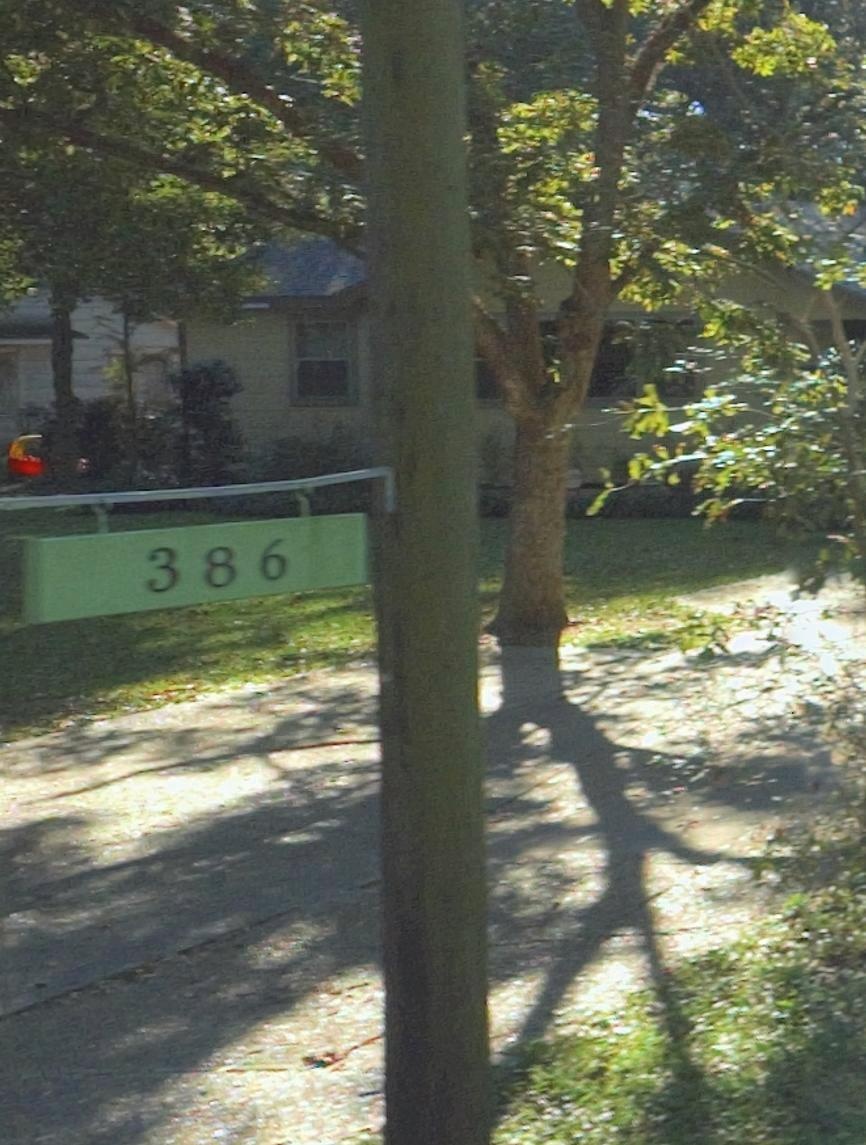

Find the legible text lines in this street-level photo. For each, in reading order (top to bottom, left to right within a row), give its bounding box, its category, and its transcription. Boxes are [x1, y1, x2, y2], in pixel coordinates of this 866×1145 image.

[144, 536, 288, 596] StreetNumber: 386